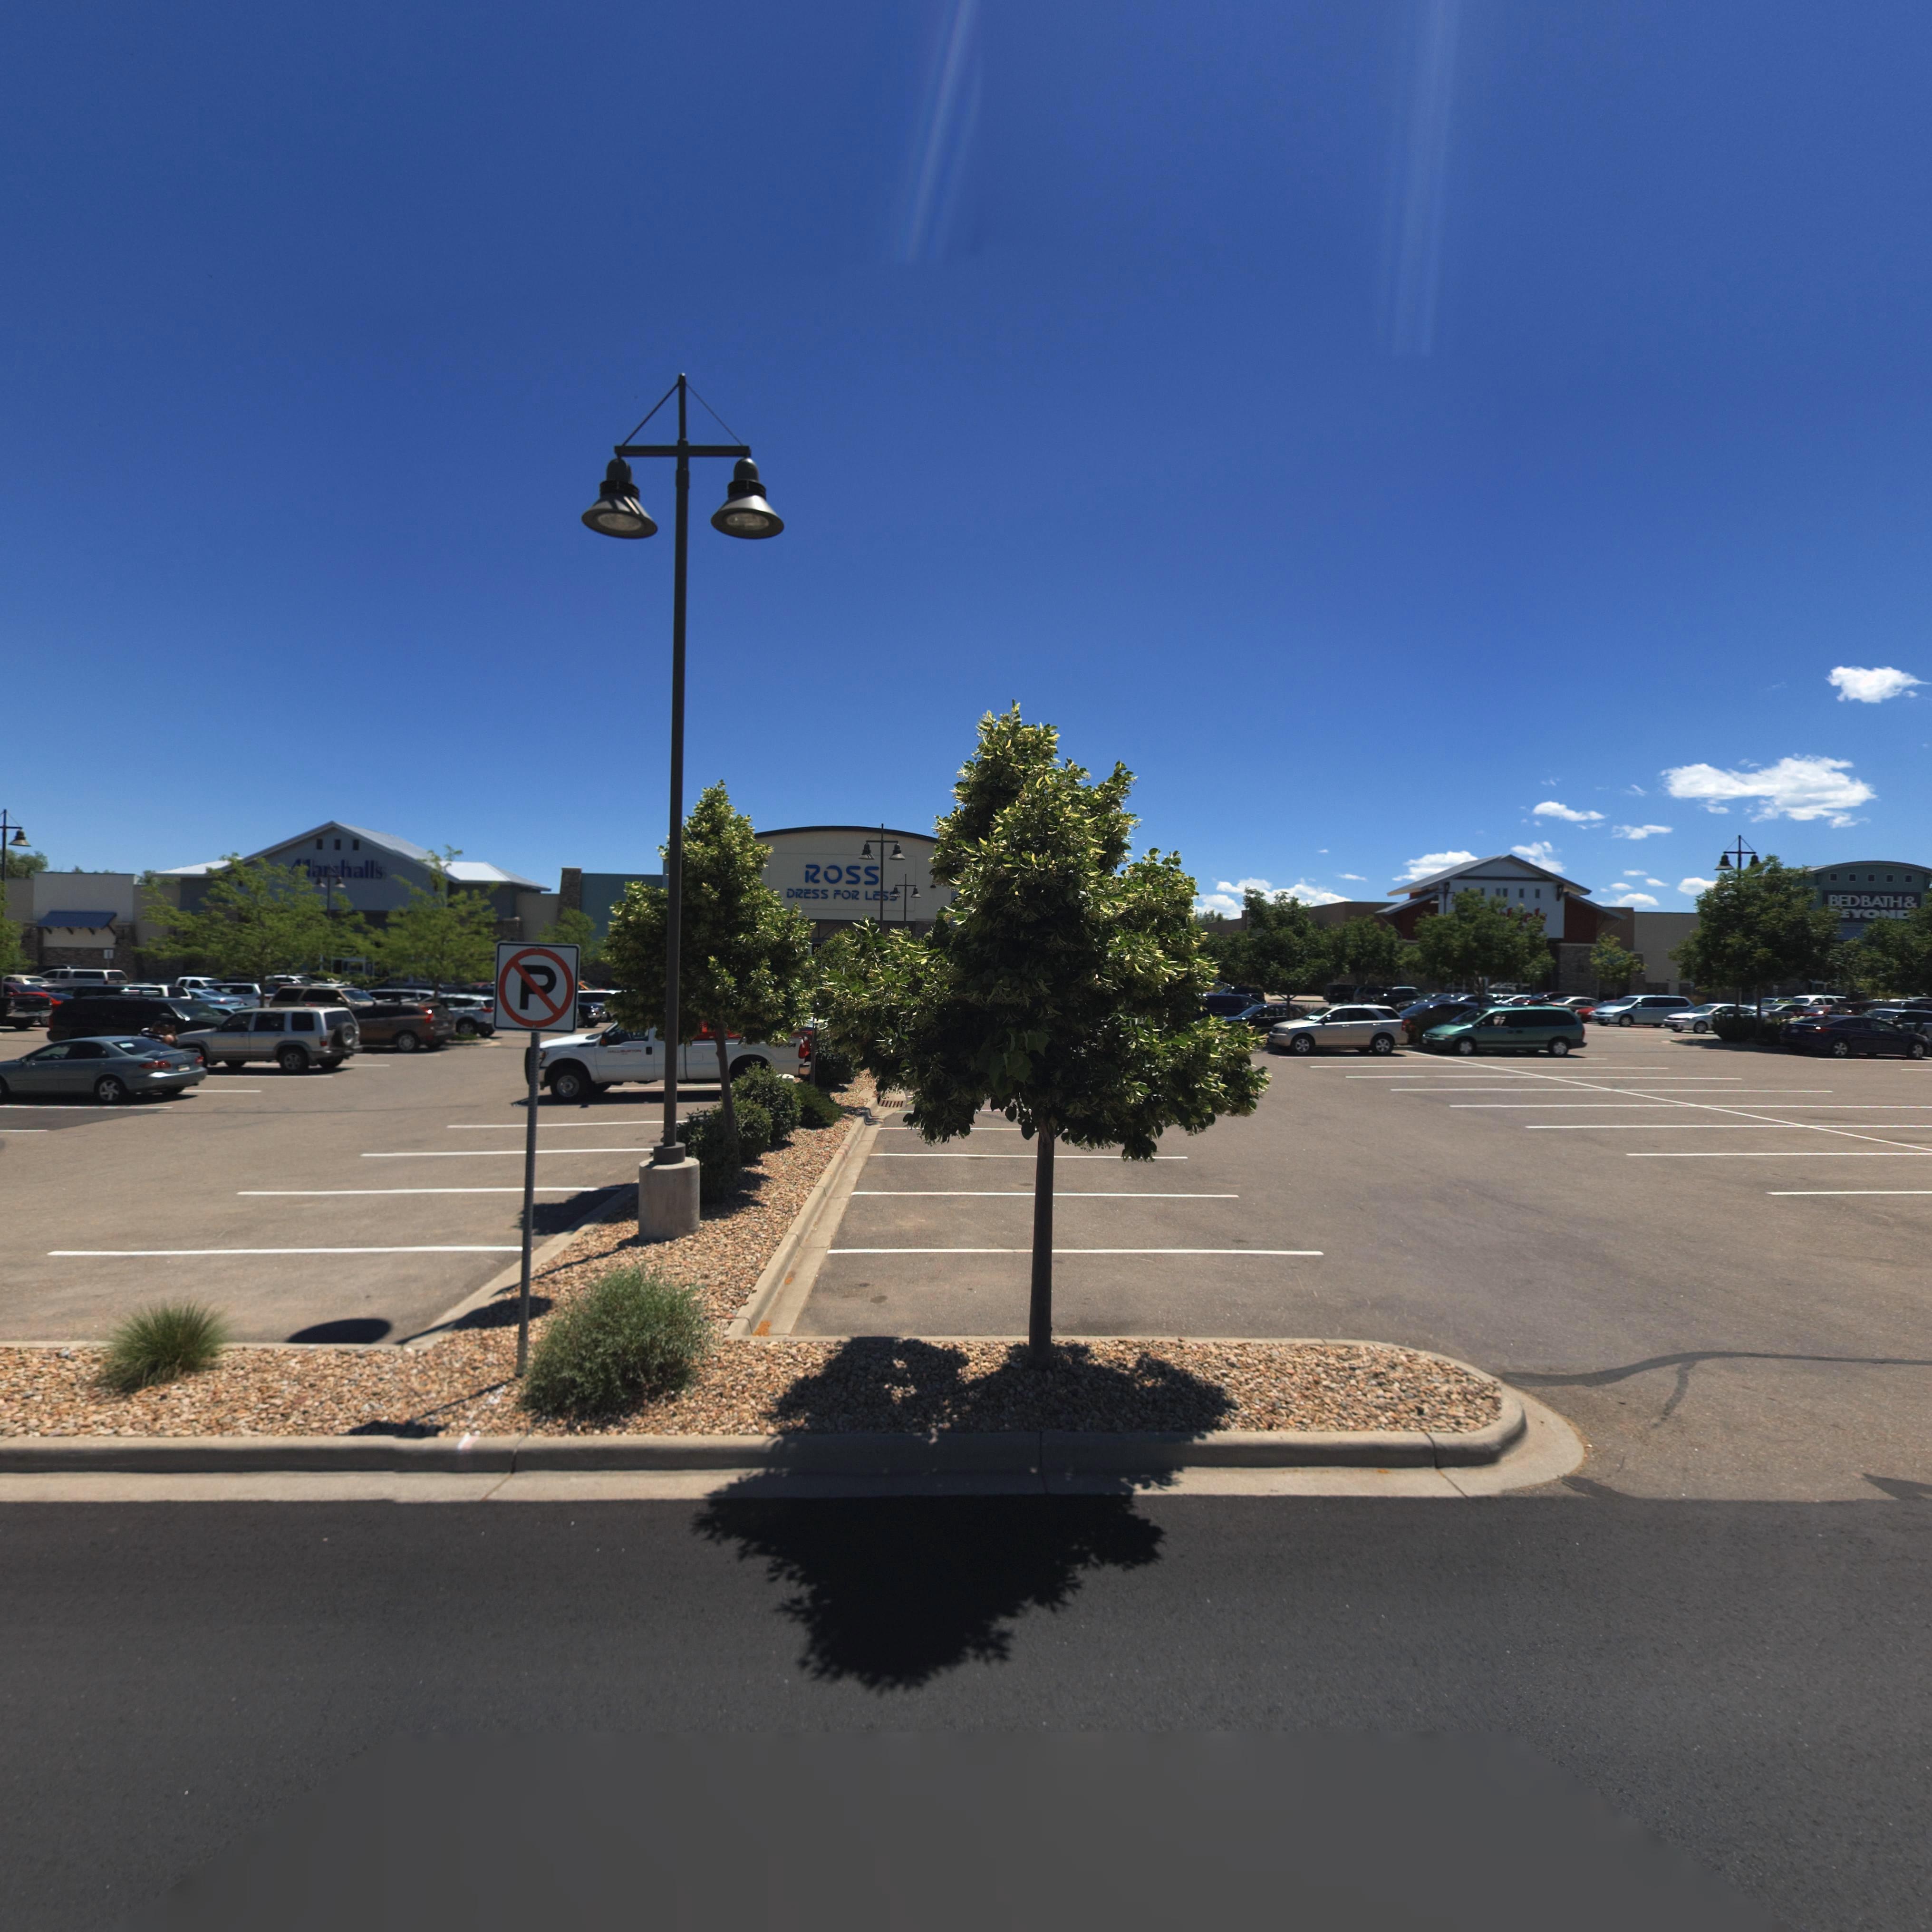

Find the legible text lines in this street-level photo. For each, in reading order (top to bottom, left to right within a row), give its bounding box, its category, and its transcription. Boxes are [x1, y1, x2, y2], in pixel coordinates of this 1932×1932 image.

[286, 858, 384, 879] BusinessName: *arshalls
[804, 863, 879, 886] BusinessName: ROSS
[1828, 894, 1919, 908] BusinessName: BED BATH &
[1839, 908, 1913, 918] BusinessName: EYON*